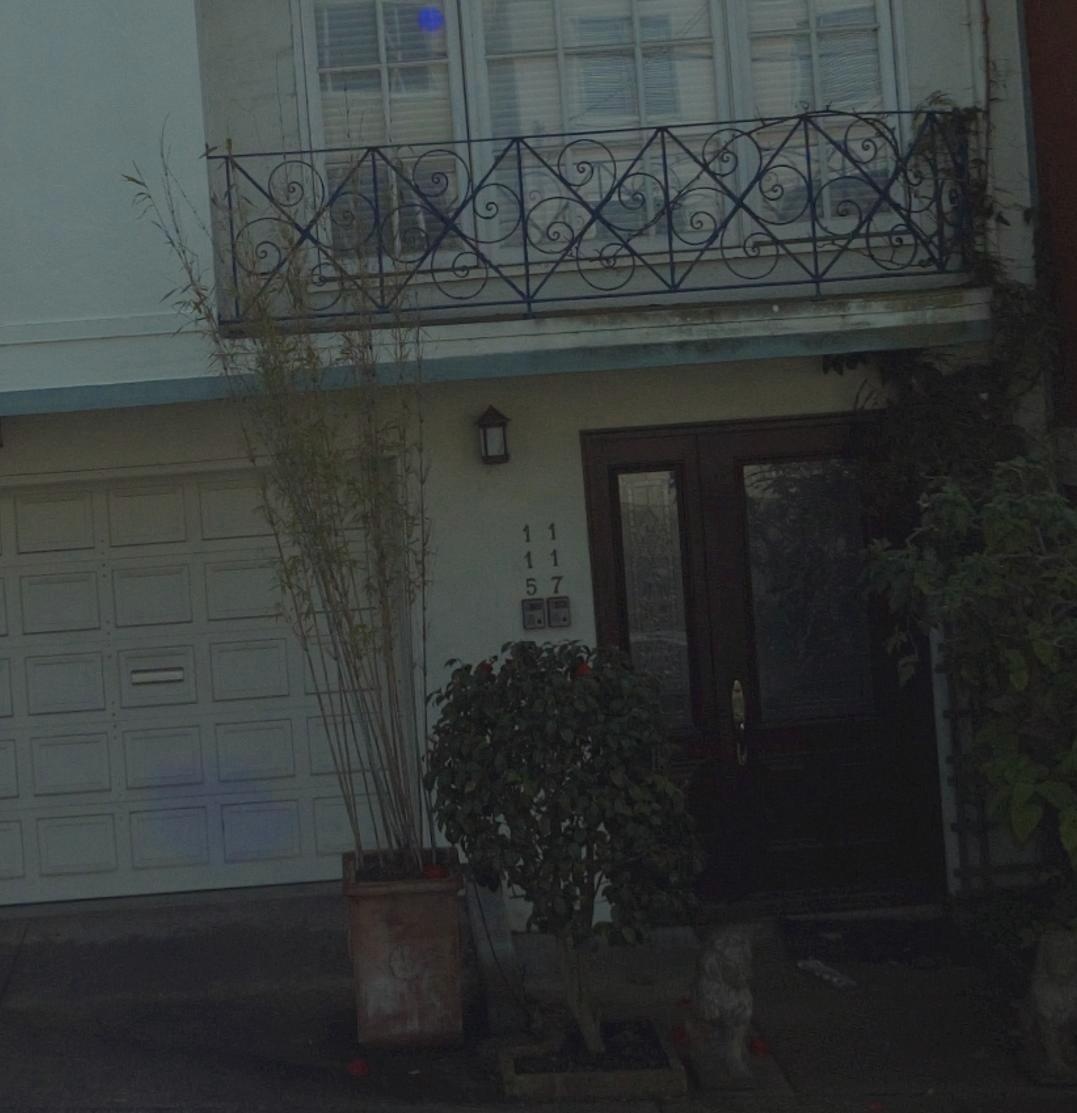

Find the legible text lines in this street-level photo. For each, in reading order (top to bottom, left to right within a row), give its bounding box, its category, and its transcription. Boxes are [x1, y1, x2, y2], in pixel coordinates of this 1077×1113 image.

[522, 522, 539, 598] StreetNumber: 115
[546, 520, 565, 596] StreetNumber: 117